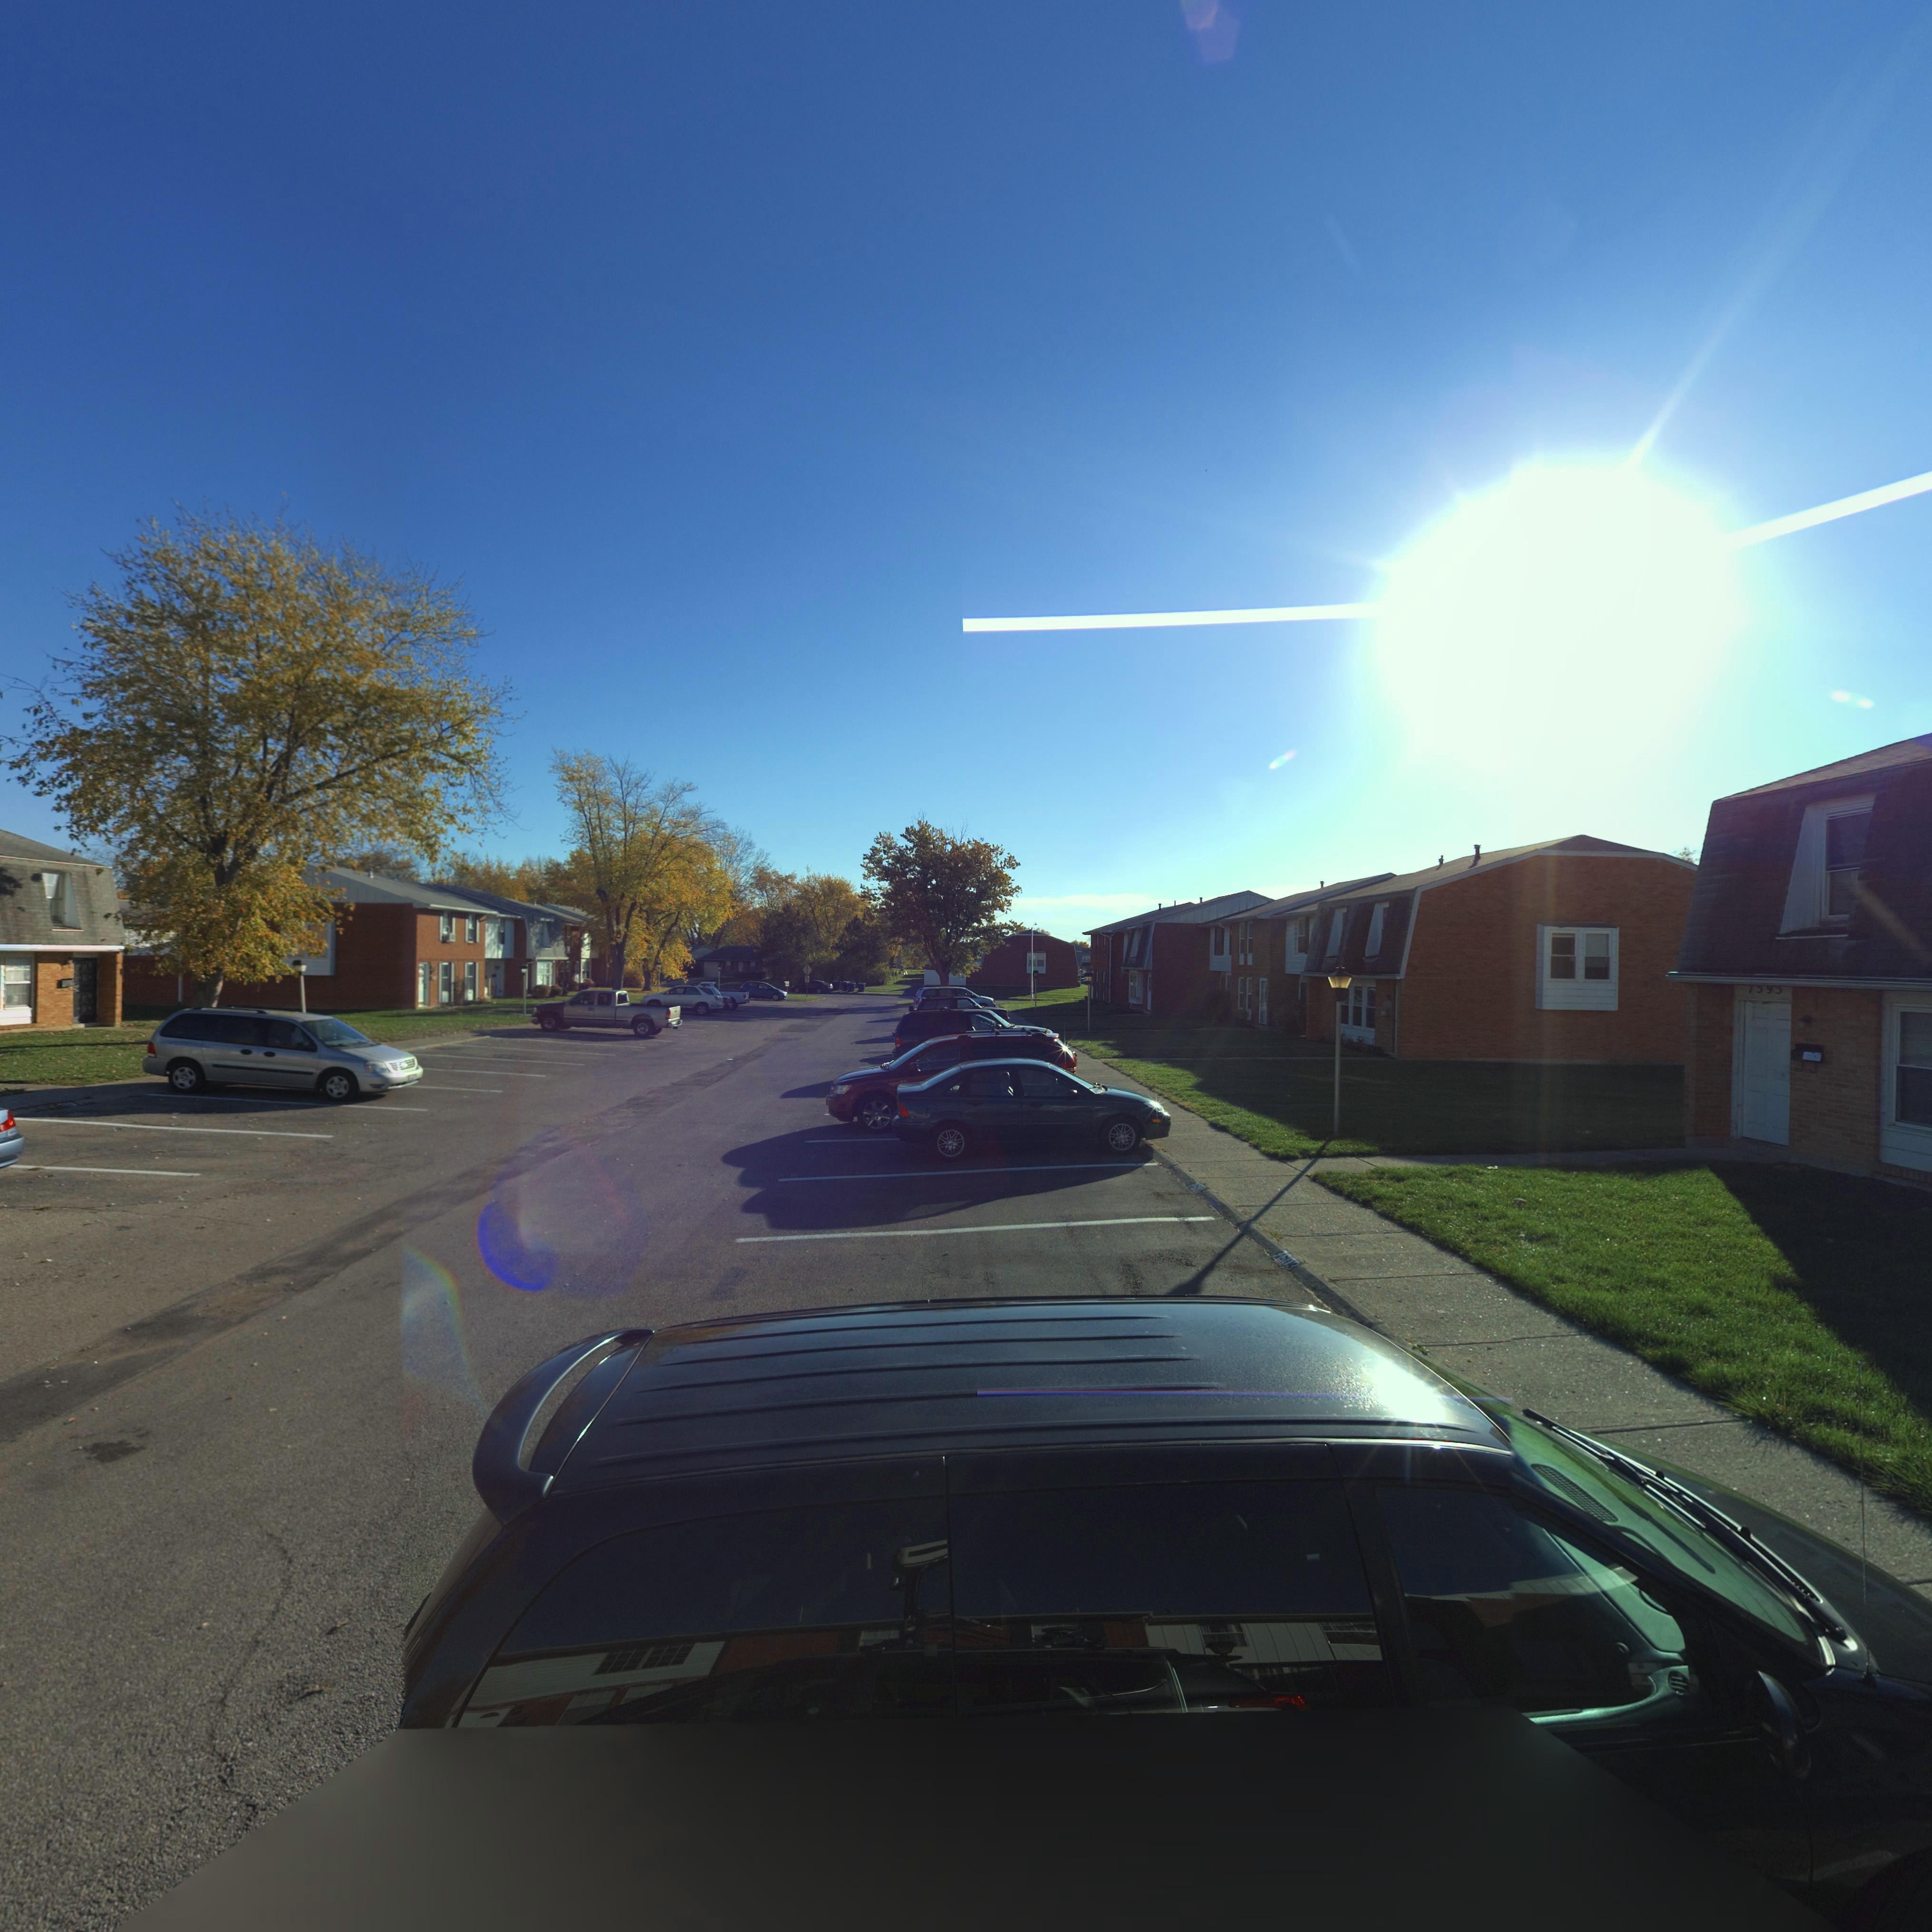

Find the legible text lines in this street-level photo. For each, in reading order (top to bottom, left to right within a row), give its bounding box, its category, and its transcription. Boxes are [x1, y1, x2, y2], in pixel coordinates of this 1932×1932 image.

[1747, 985, 1783, 995] StreetNumber: 7595